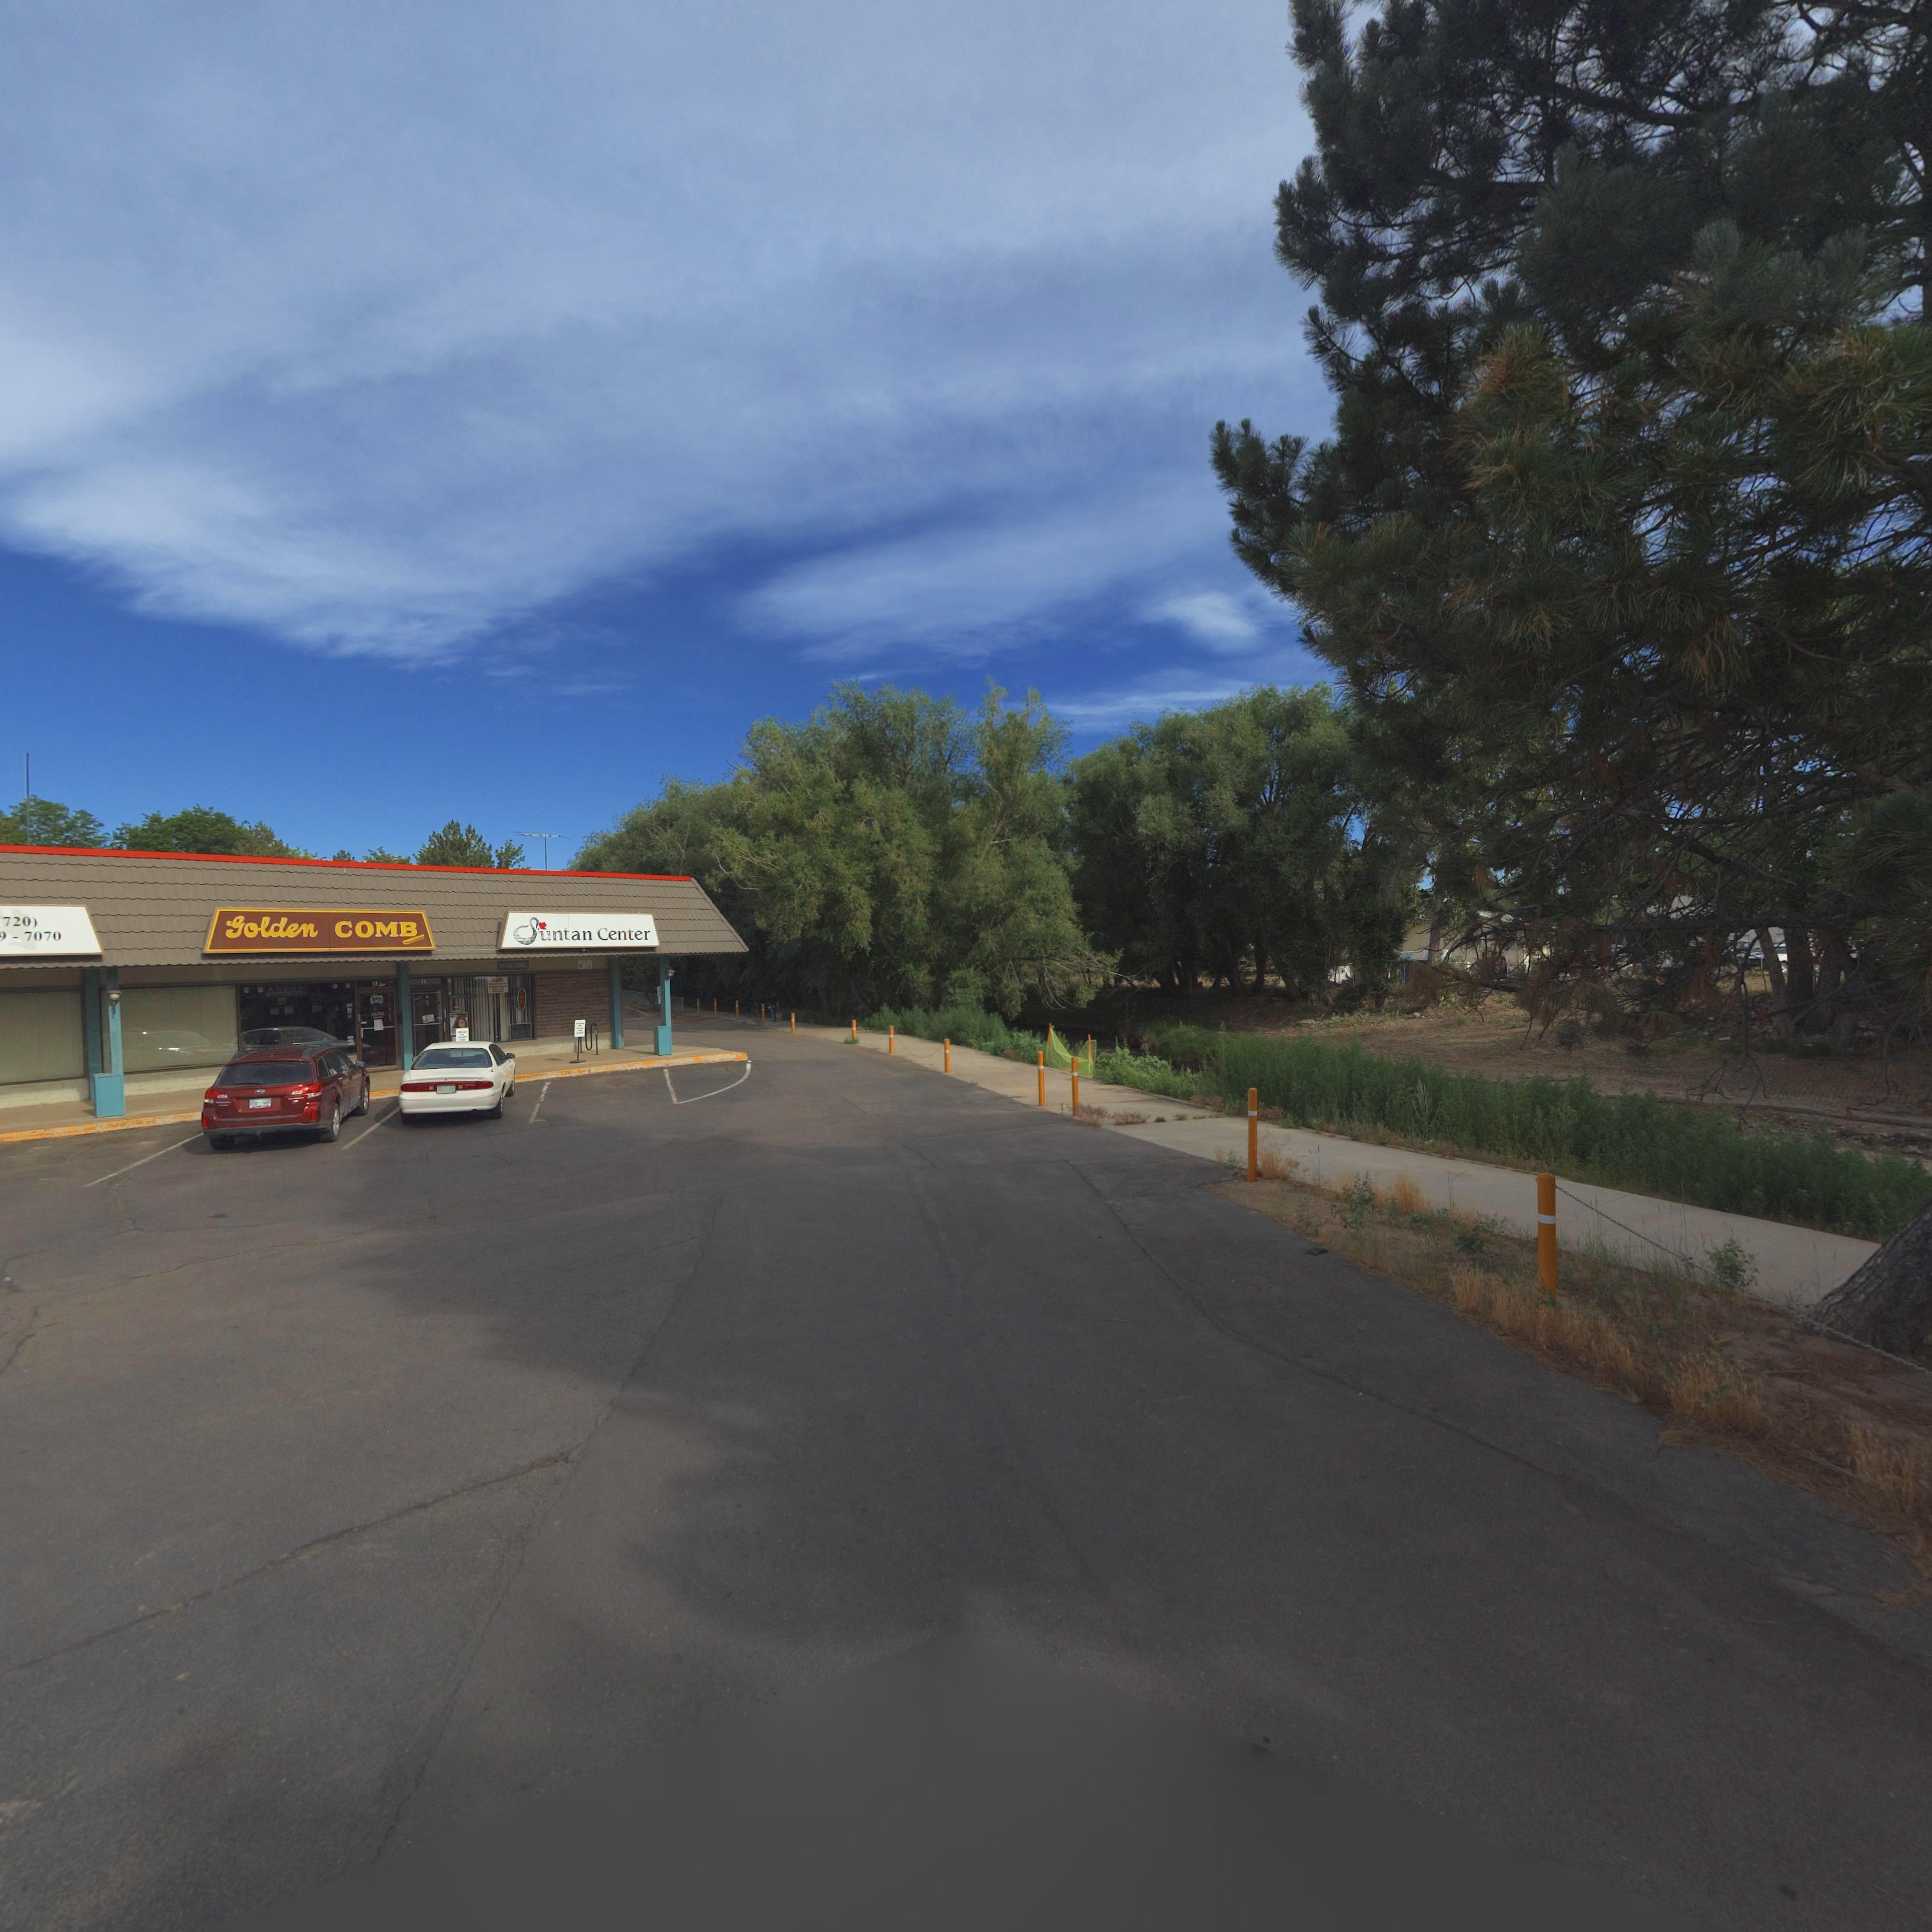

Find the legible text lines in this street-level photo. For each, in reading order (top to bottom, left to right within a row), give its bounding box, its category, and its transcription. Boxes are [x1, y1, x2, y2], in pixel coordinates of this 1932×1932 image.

[224, 915, 418, 938] BusinessName: golden COMB
[512, 915, 652, 946] BusinessName: Suntan Center
[372, 981, 378, 986] StreetNumber: 13
[420, 978, 427, 984] StreetNumber: 14
[267, 984, 303, 993] BusinessName: A**HA